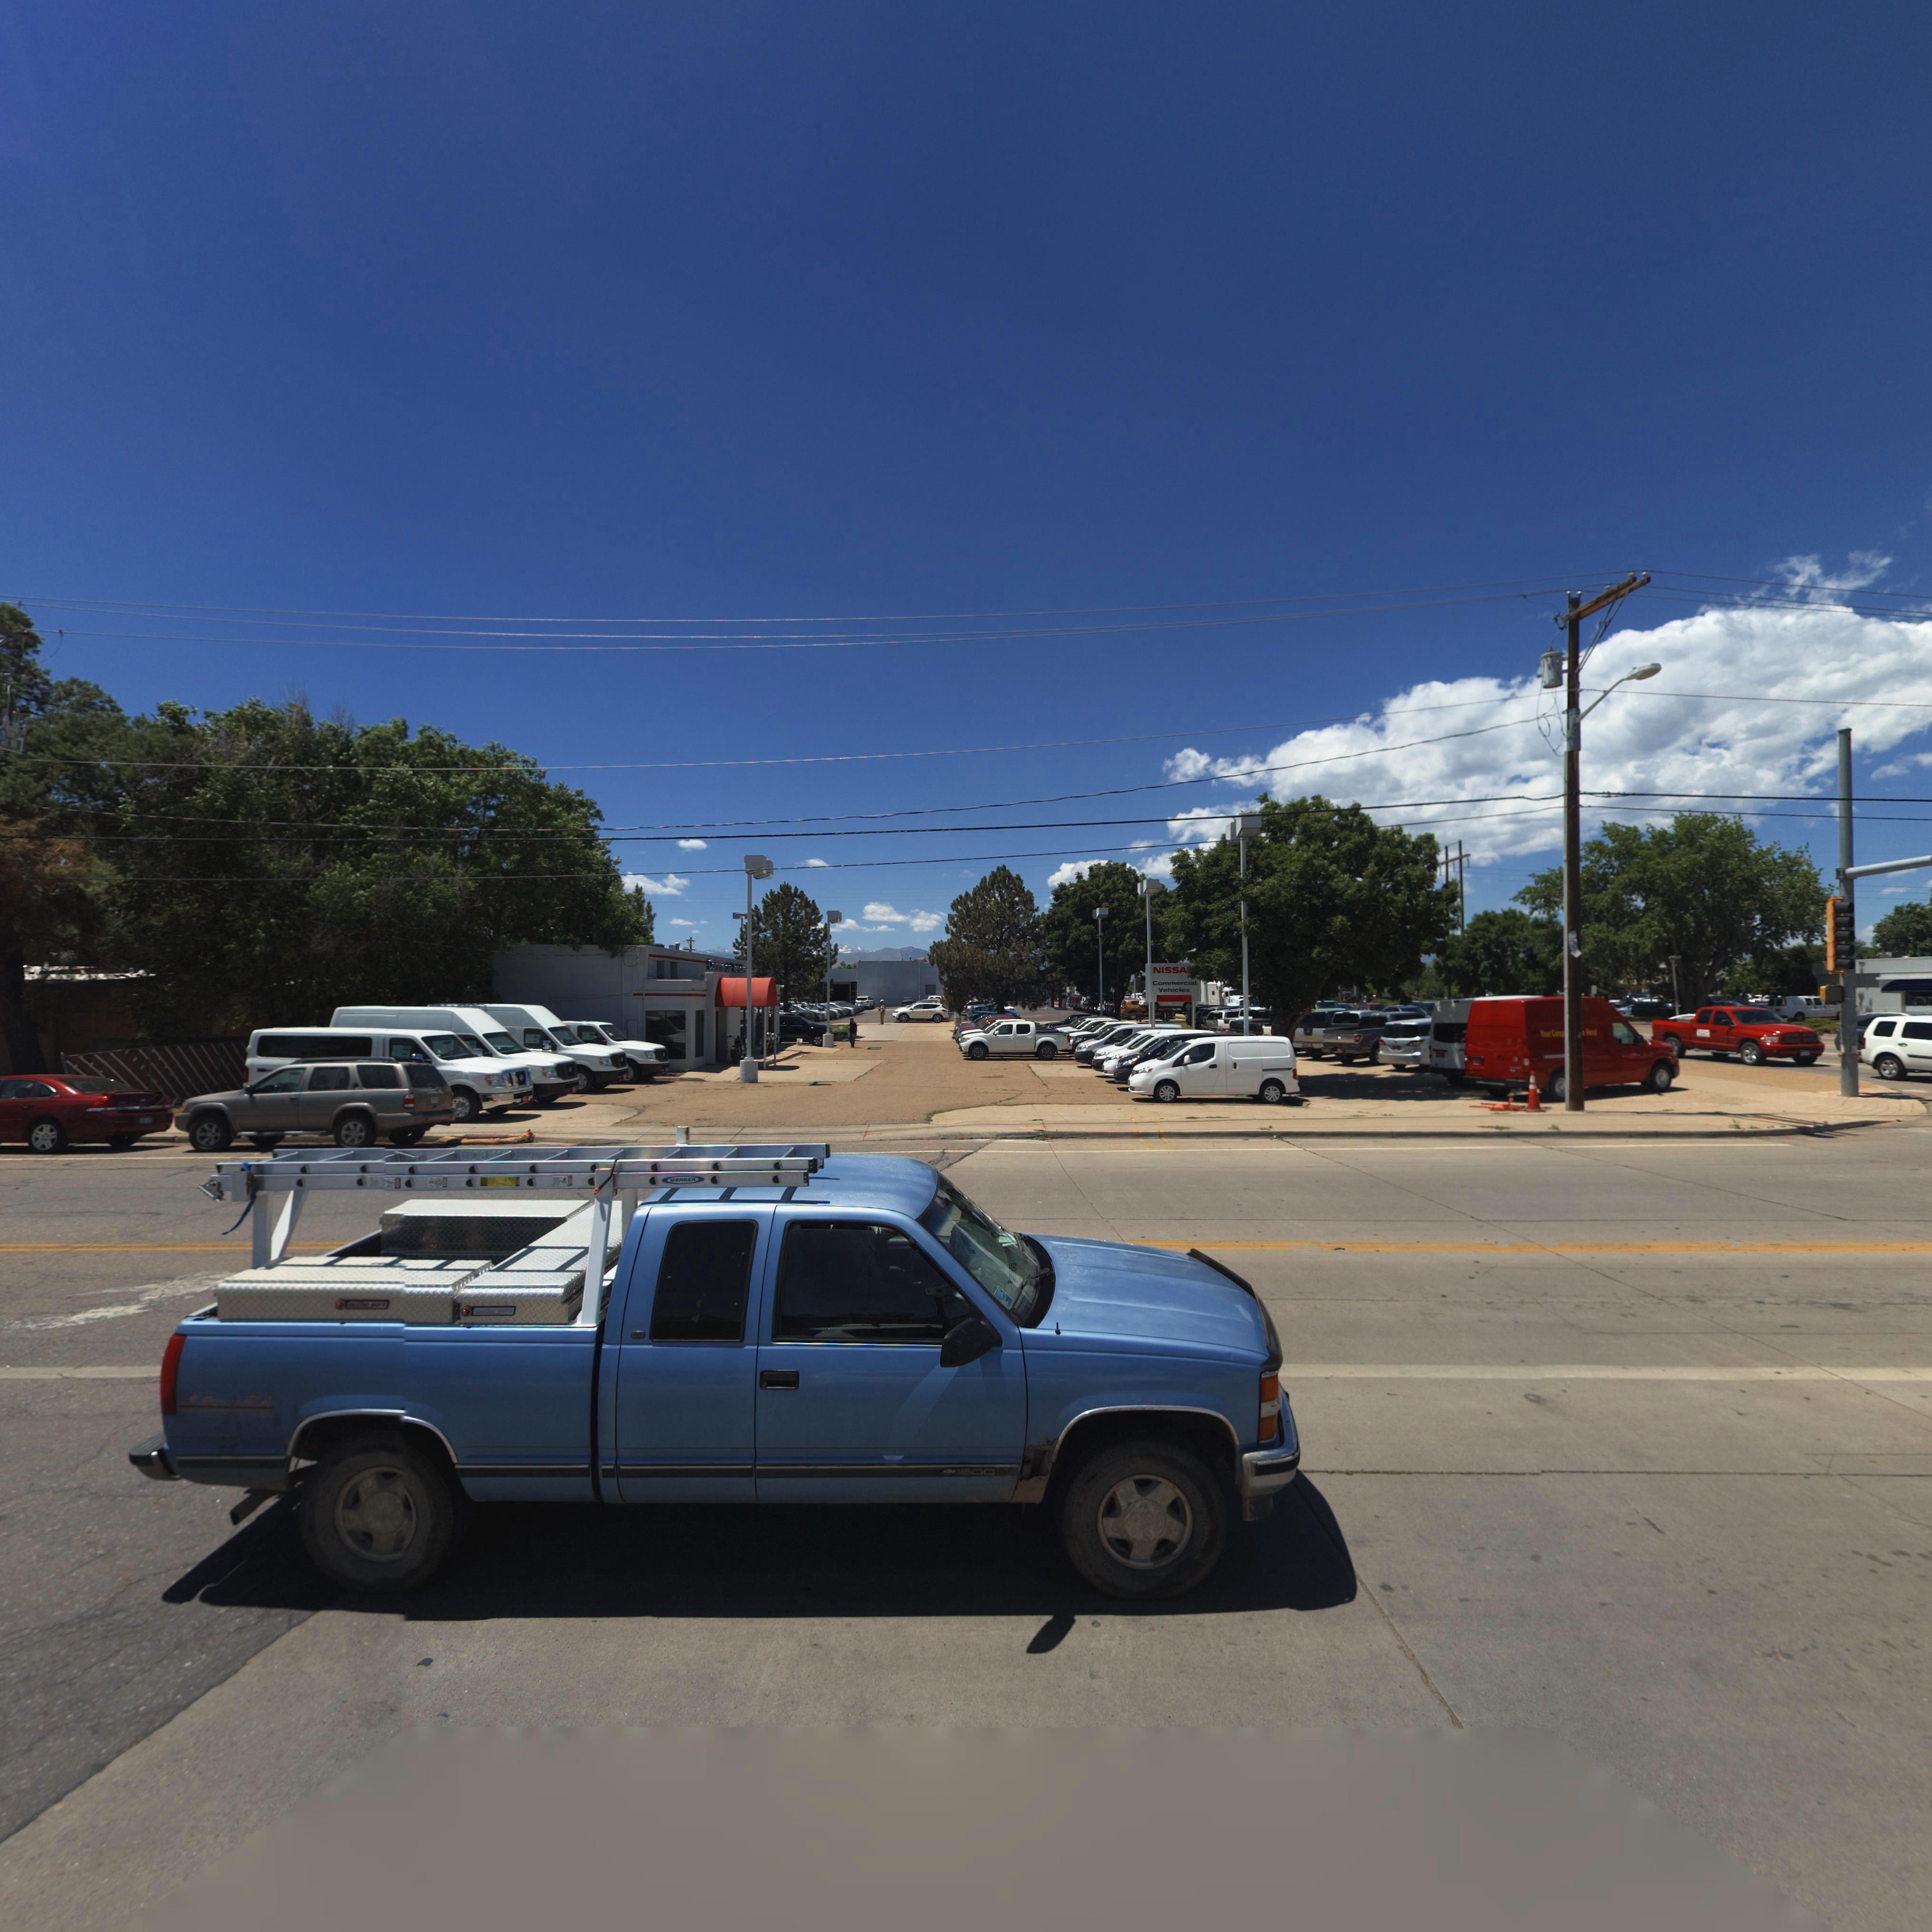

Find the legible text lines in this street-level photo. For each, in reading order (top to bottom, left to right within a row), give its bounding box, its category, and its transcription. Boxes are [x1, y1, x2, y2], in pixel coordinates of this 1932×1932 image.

[1153, 966, 1188, 974] BusinessName: NISSA